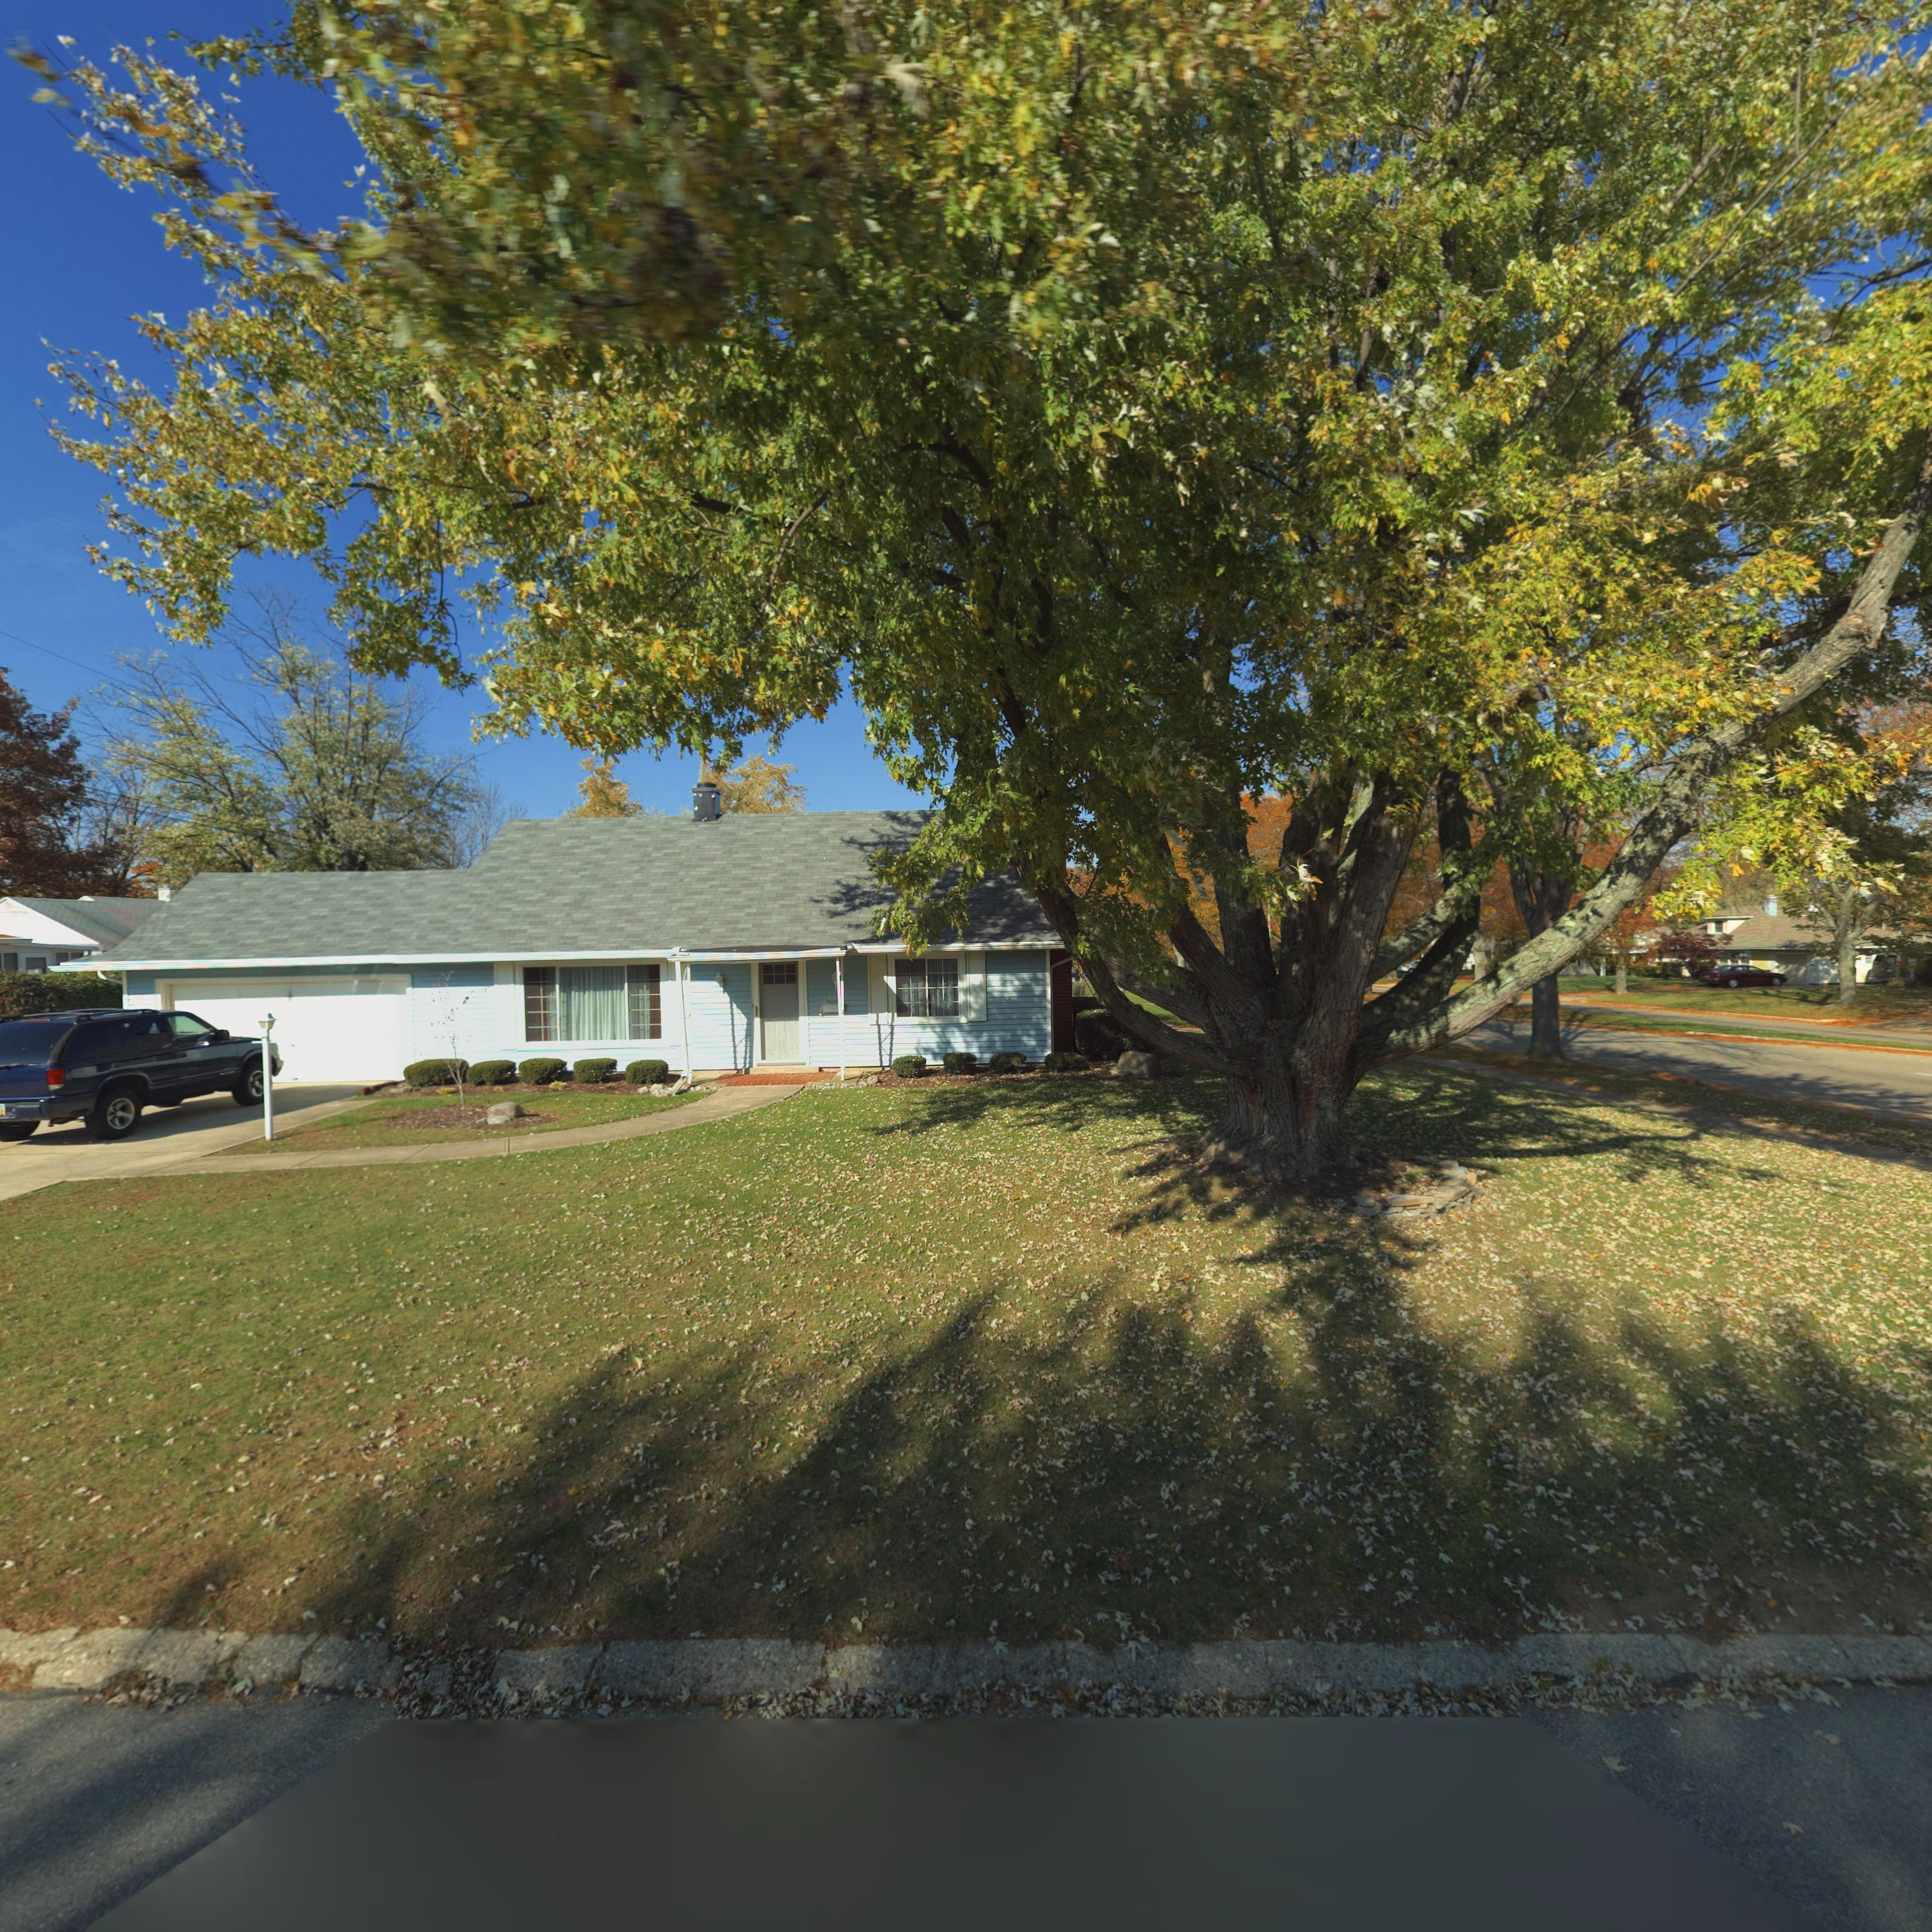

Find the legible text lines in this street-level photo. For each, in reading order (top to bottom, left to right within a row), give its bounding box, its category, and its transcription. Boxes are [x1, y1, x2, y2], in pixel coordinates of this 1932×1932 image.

[827, 994, 837, 1002] StreetNumber: 86